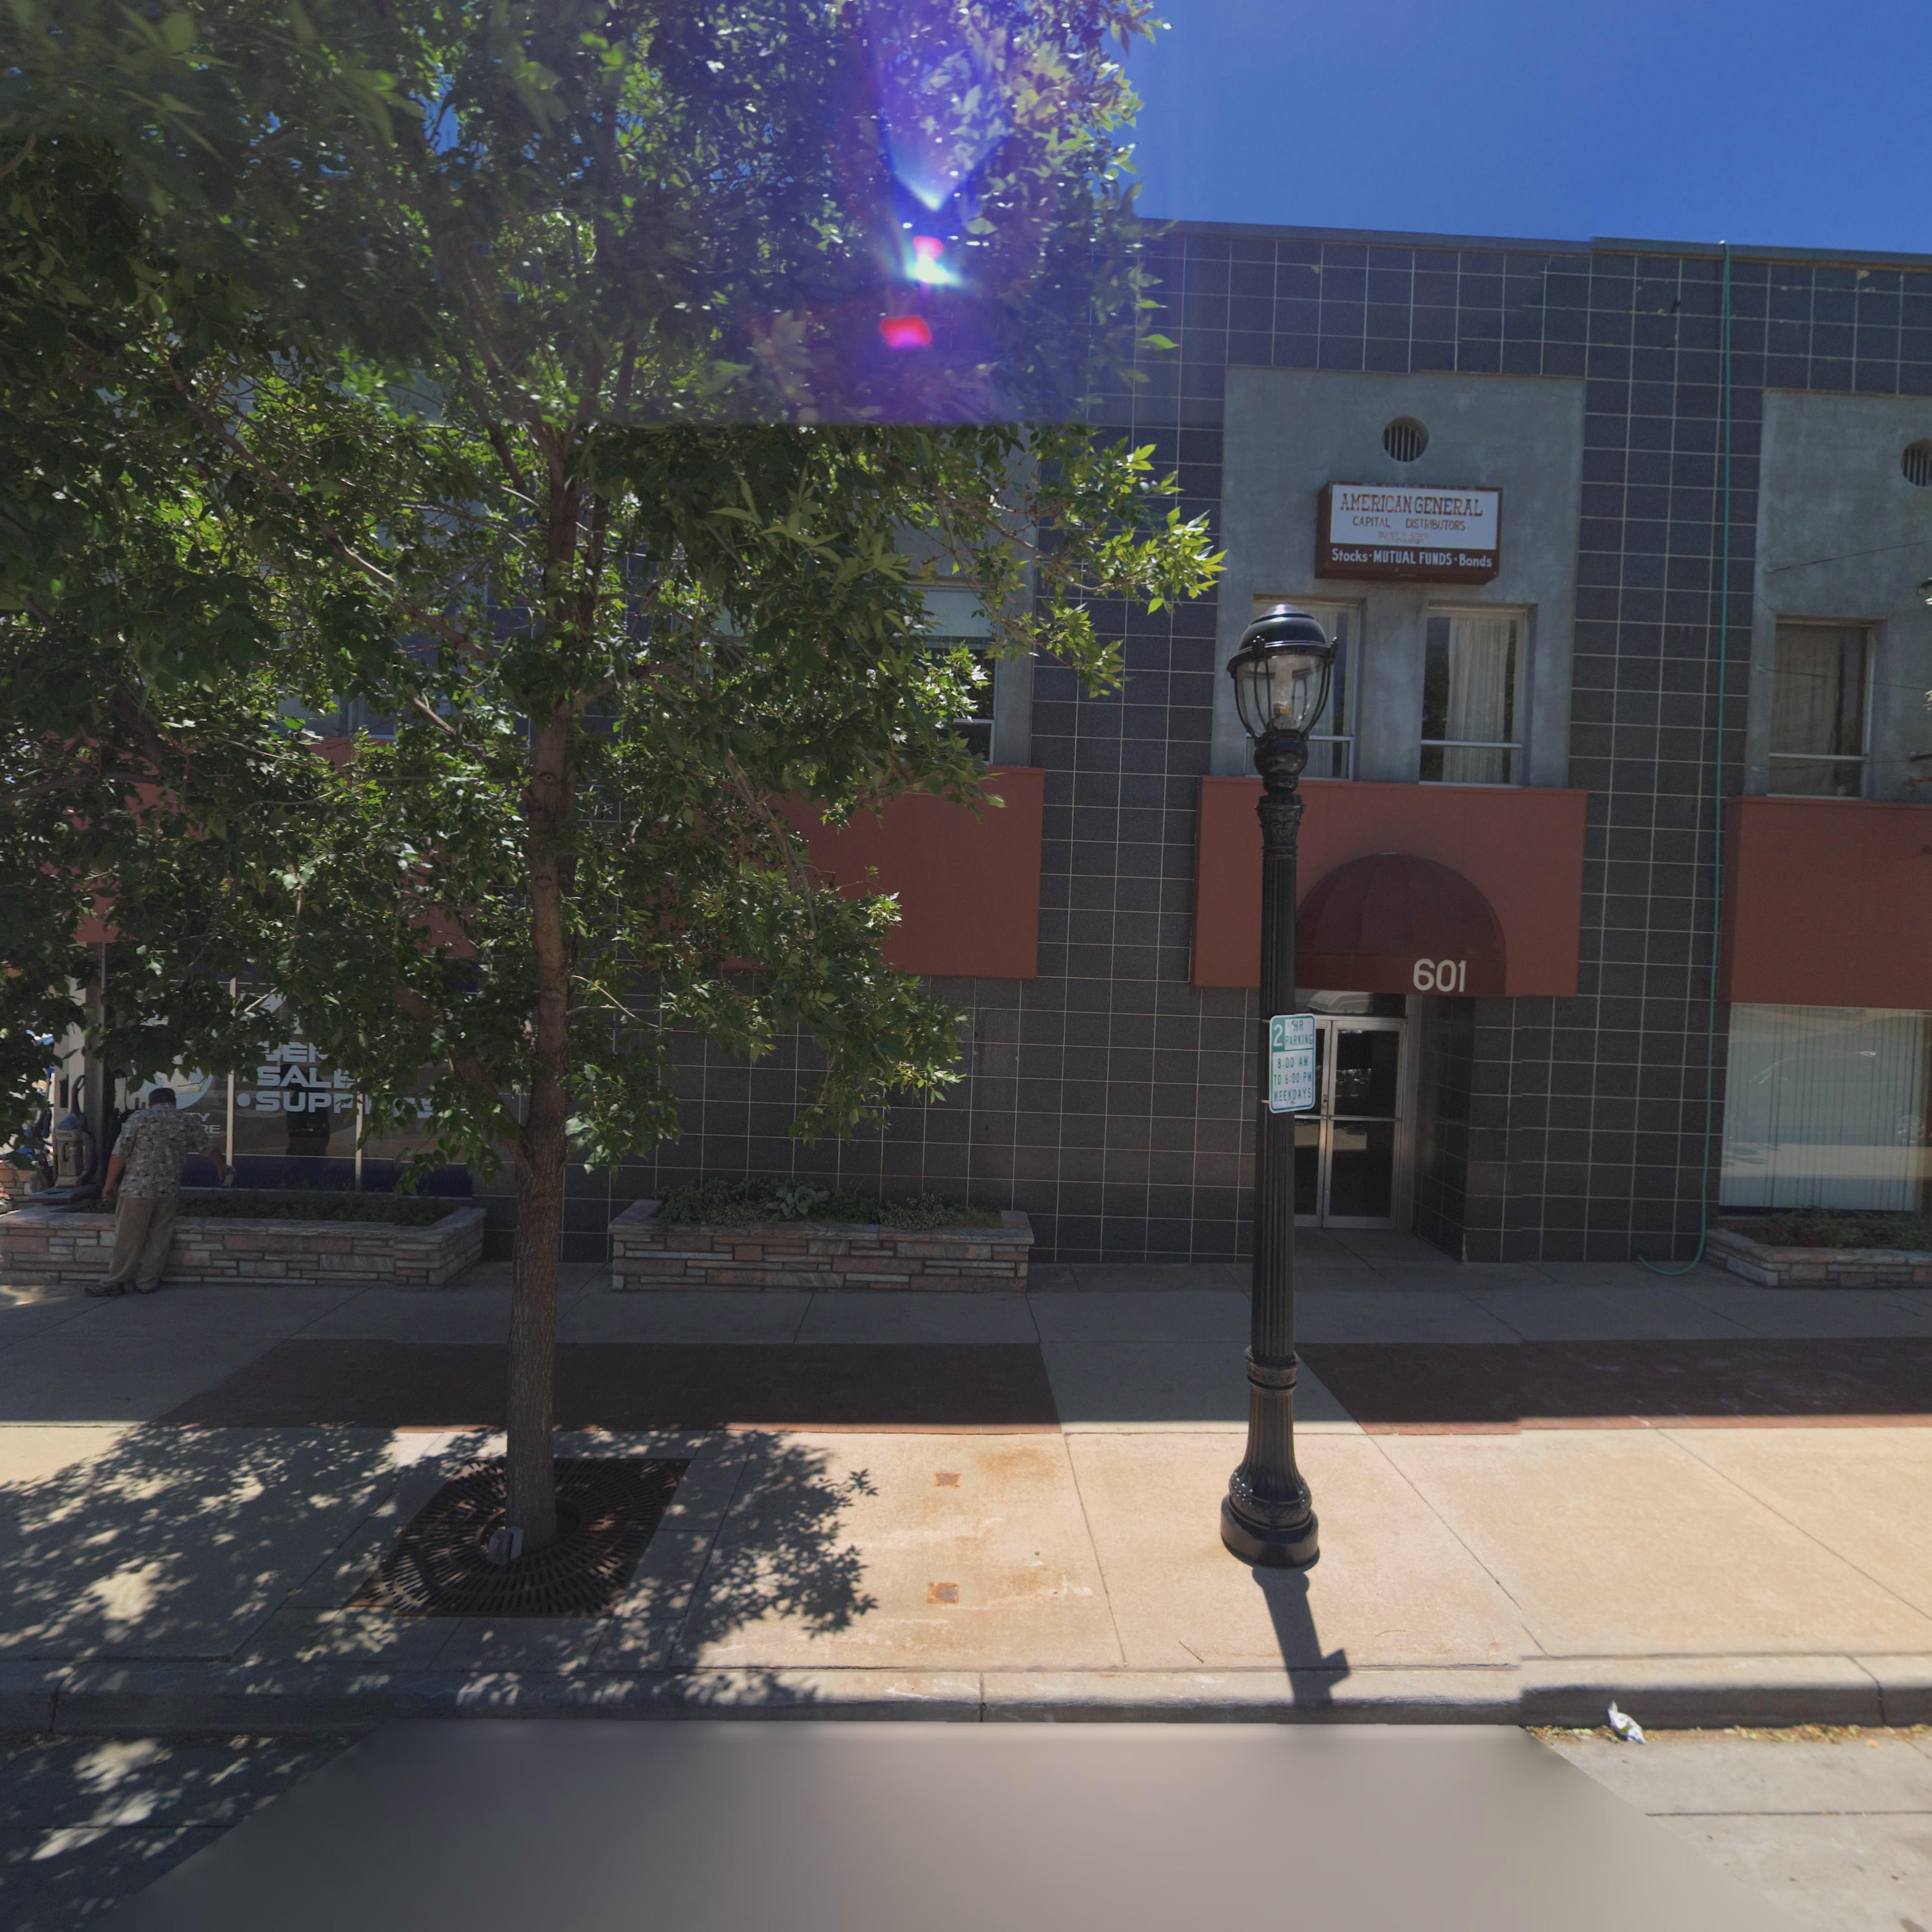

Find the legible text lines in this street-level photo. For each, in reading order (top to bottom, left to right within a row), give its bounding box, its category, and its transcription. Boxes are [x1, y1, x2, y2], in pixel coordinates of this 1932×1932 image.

[1340, 493, 1482, 517] BusinessName: AMERICAN GENERAL
[1352, 516, 1465, 531] BusinessName: CAPITAL DISTRIBUTORS
[1413, 958, 1465, 992] StreetNumber: 601